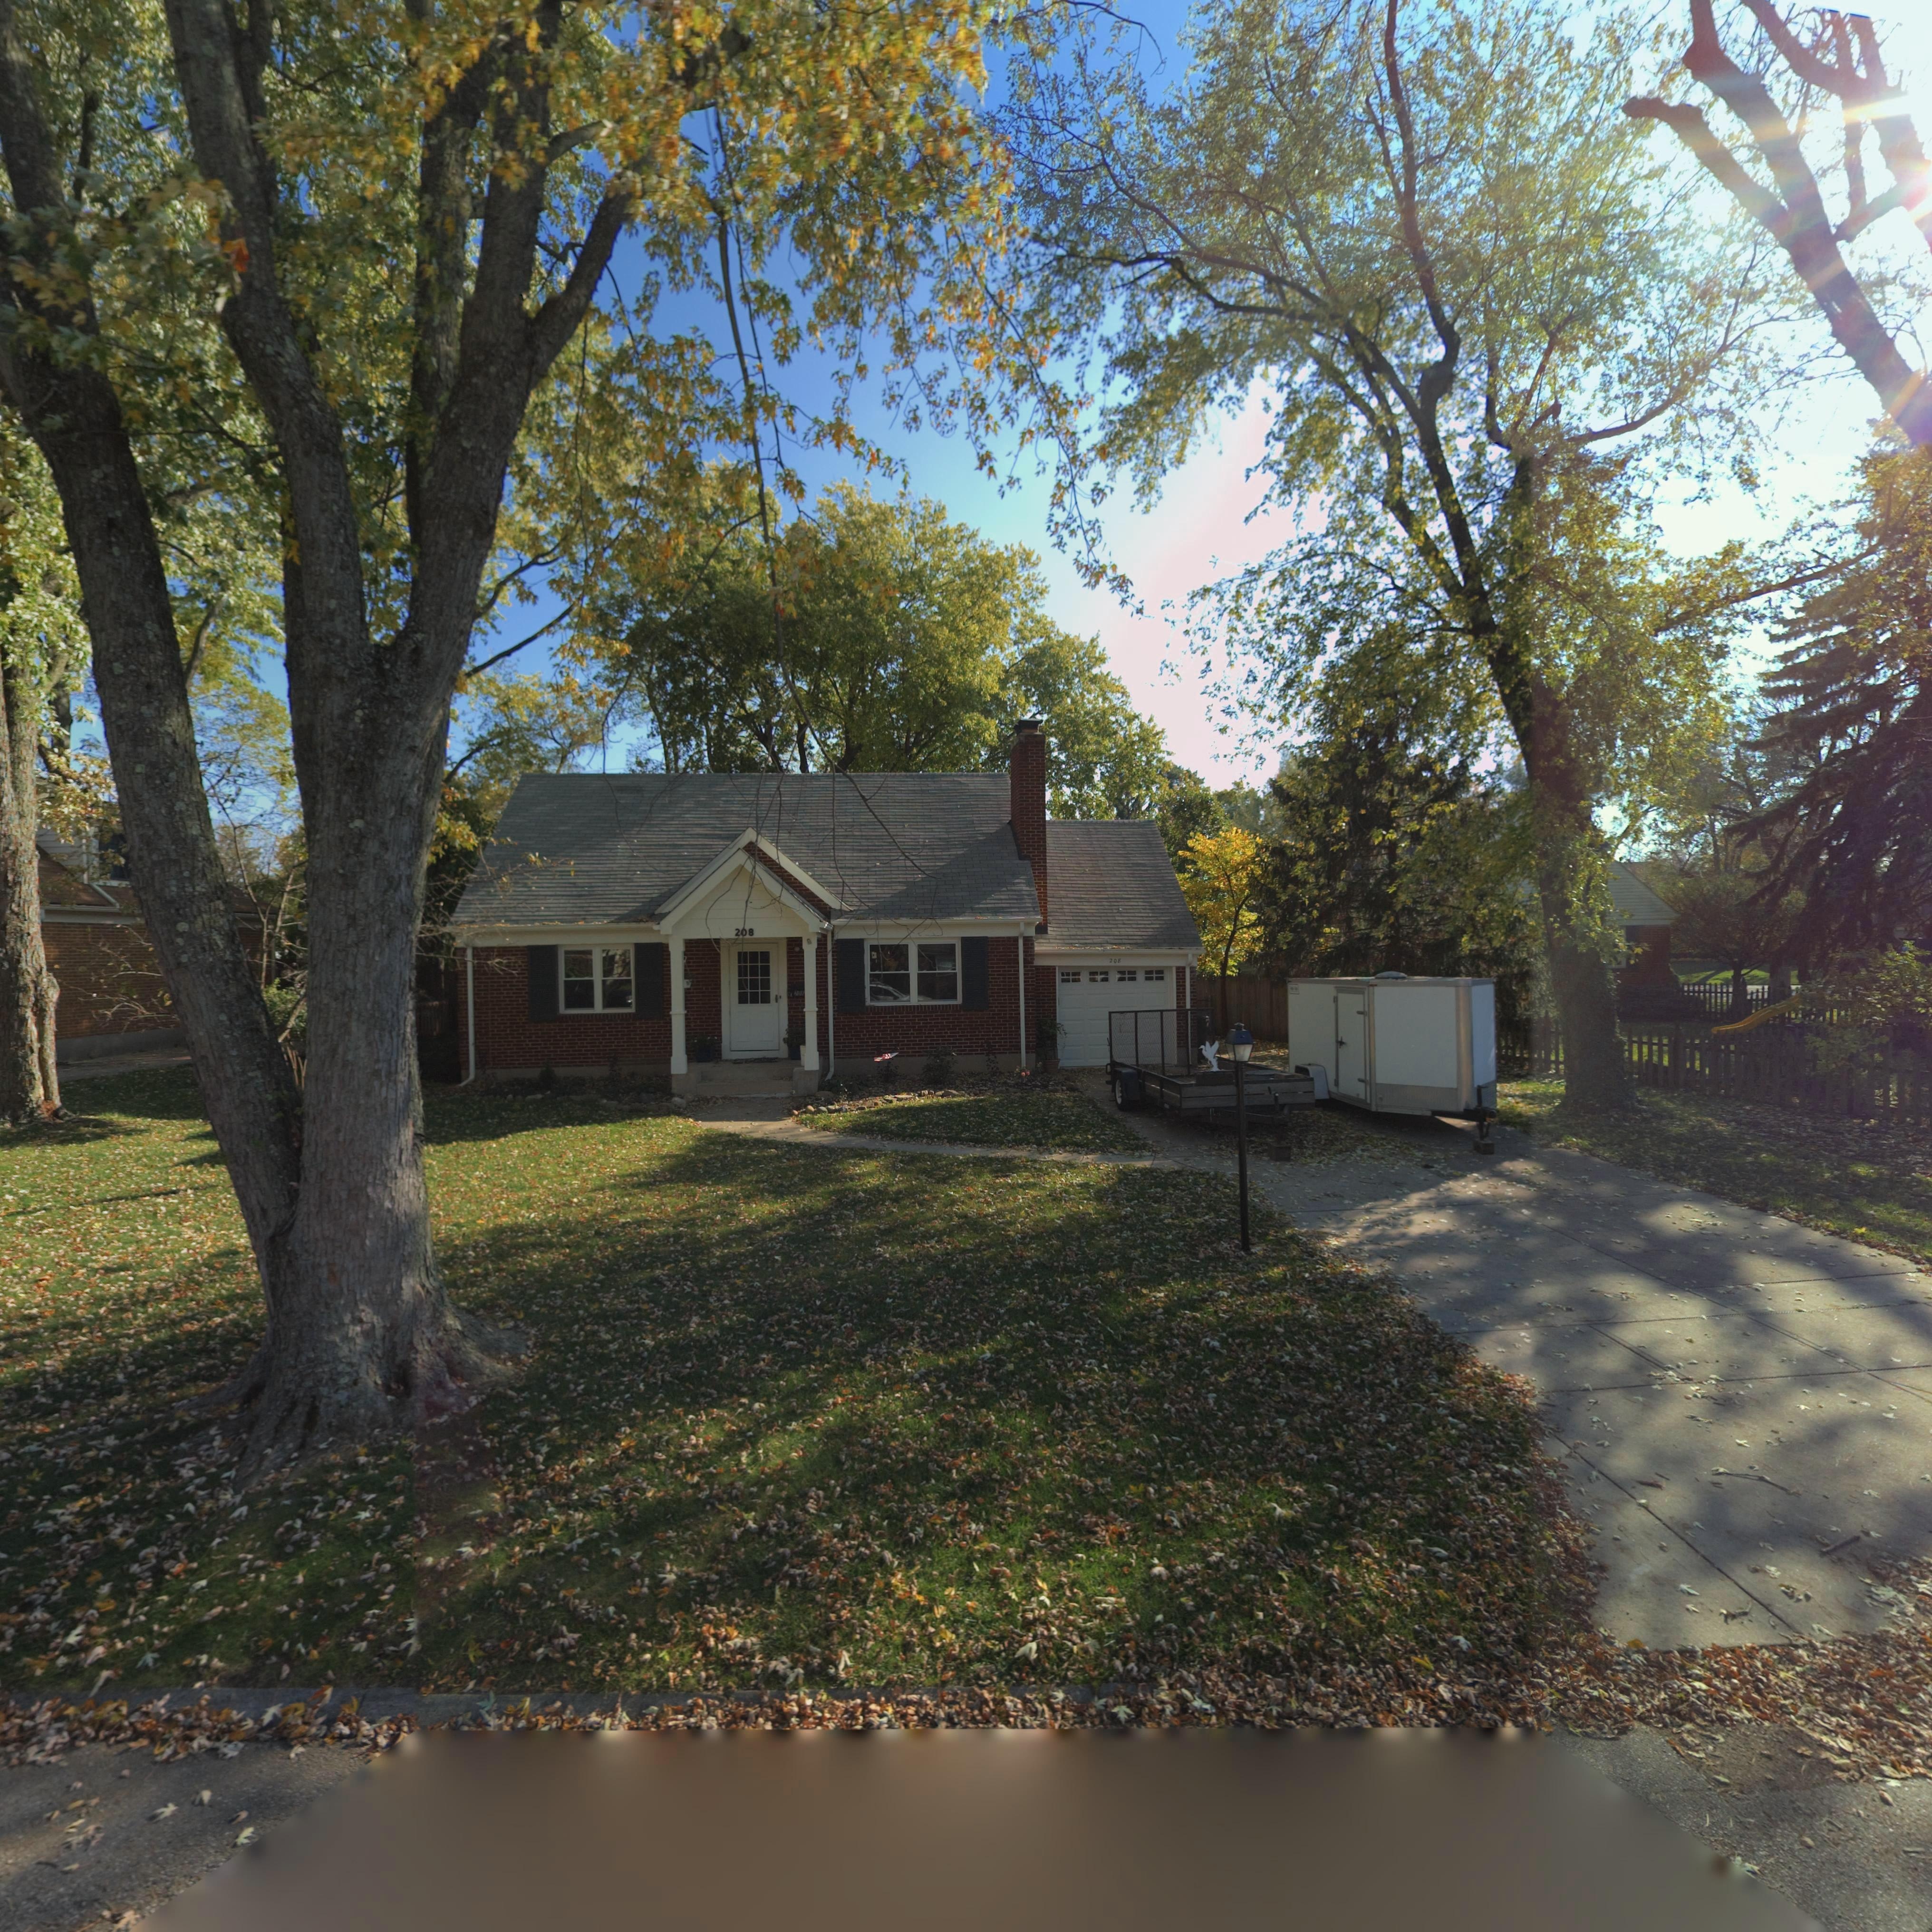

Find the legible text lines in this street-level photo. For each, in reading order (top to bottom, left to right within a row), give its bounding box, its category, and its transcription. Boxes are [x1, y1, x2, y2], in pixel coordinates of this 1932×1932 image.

[734, 927, 754, 937] StreetNumber: 208
[1109, 957, 1122, 964] StreetNumber: 208